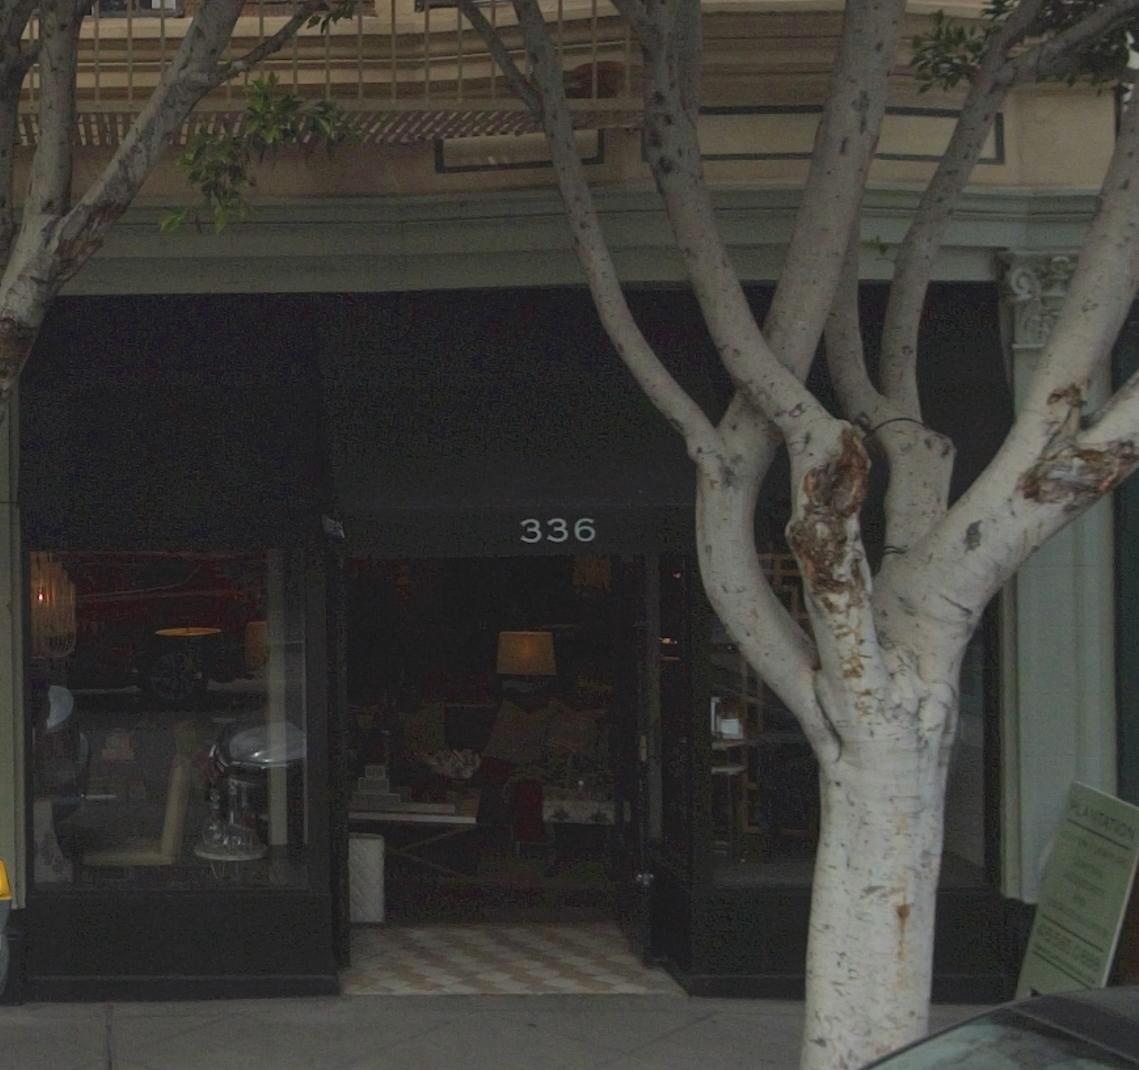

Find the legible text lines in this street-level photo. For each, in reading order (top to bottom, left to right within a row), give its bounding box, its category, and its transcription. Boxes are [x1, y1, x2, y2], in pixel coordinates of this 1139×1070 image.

[519, 516, 598, 545] StreetNumber: 336